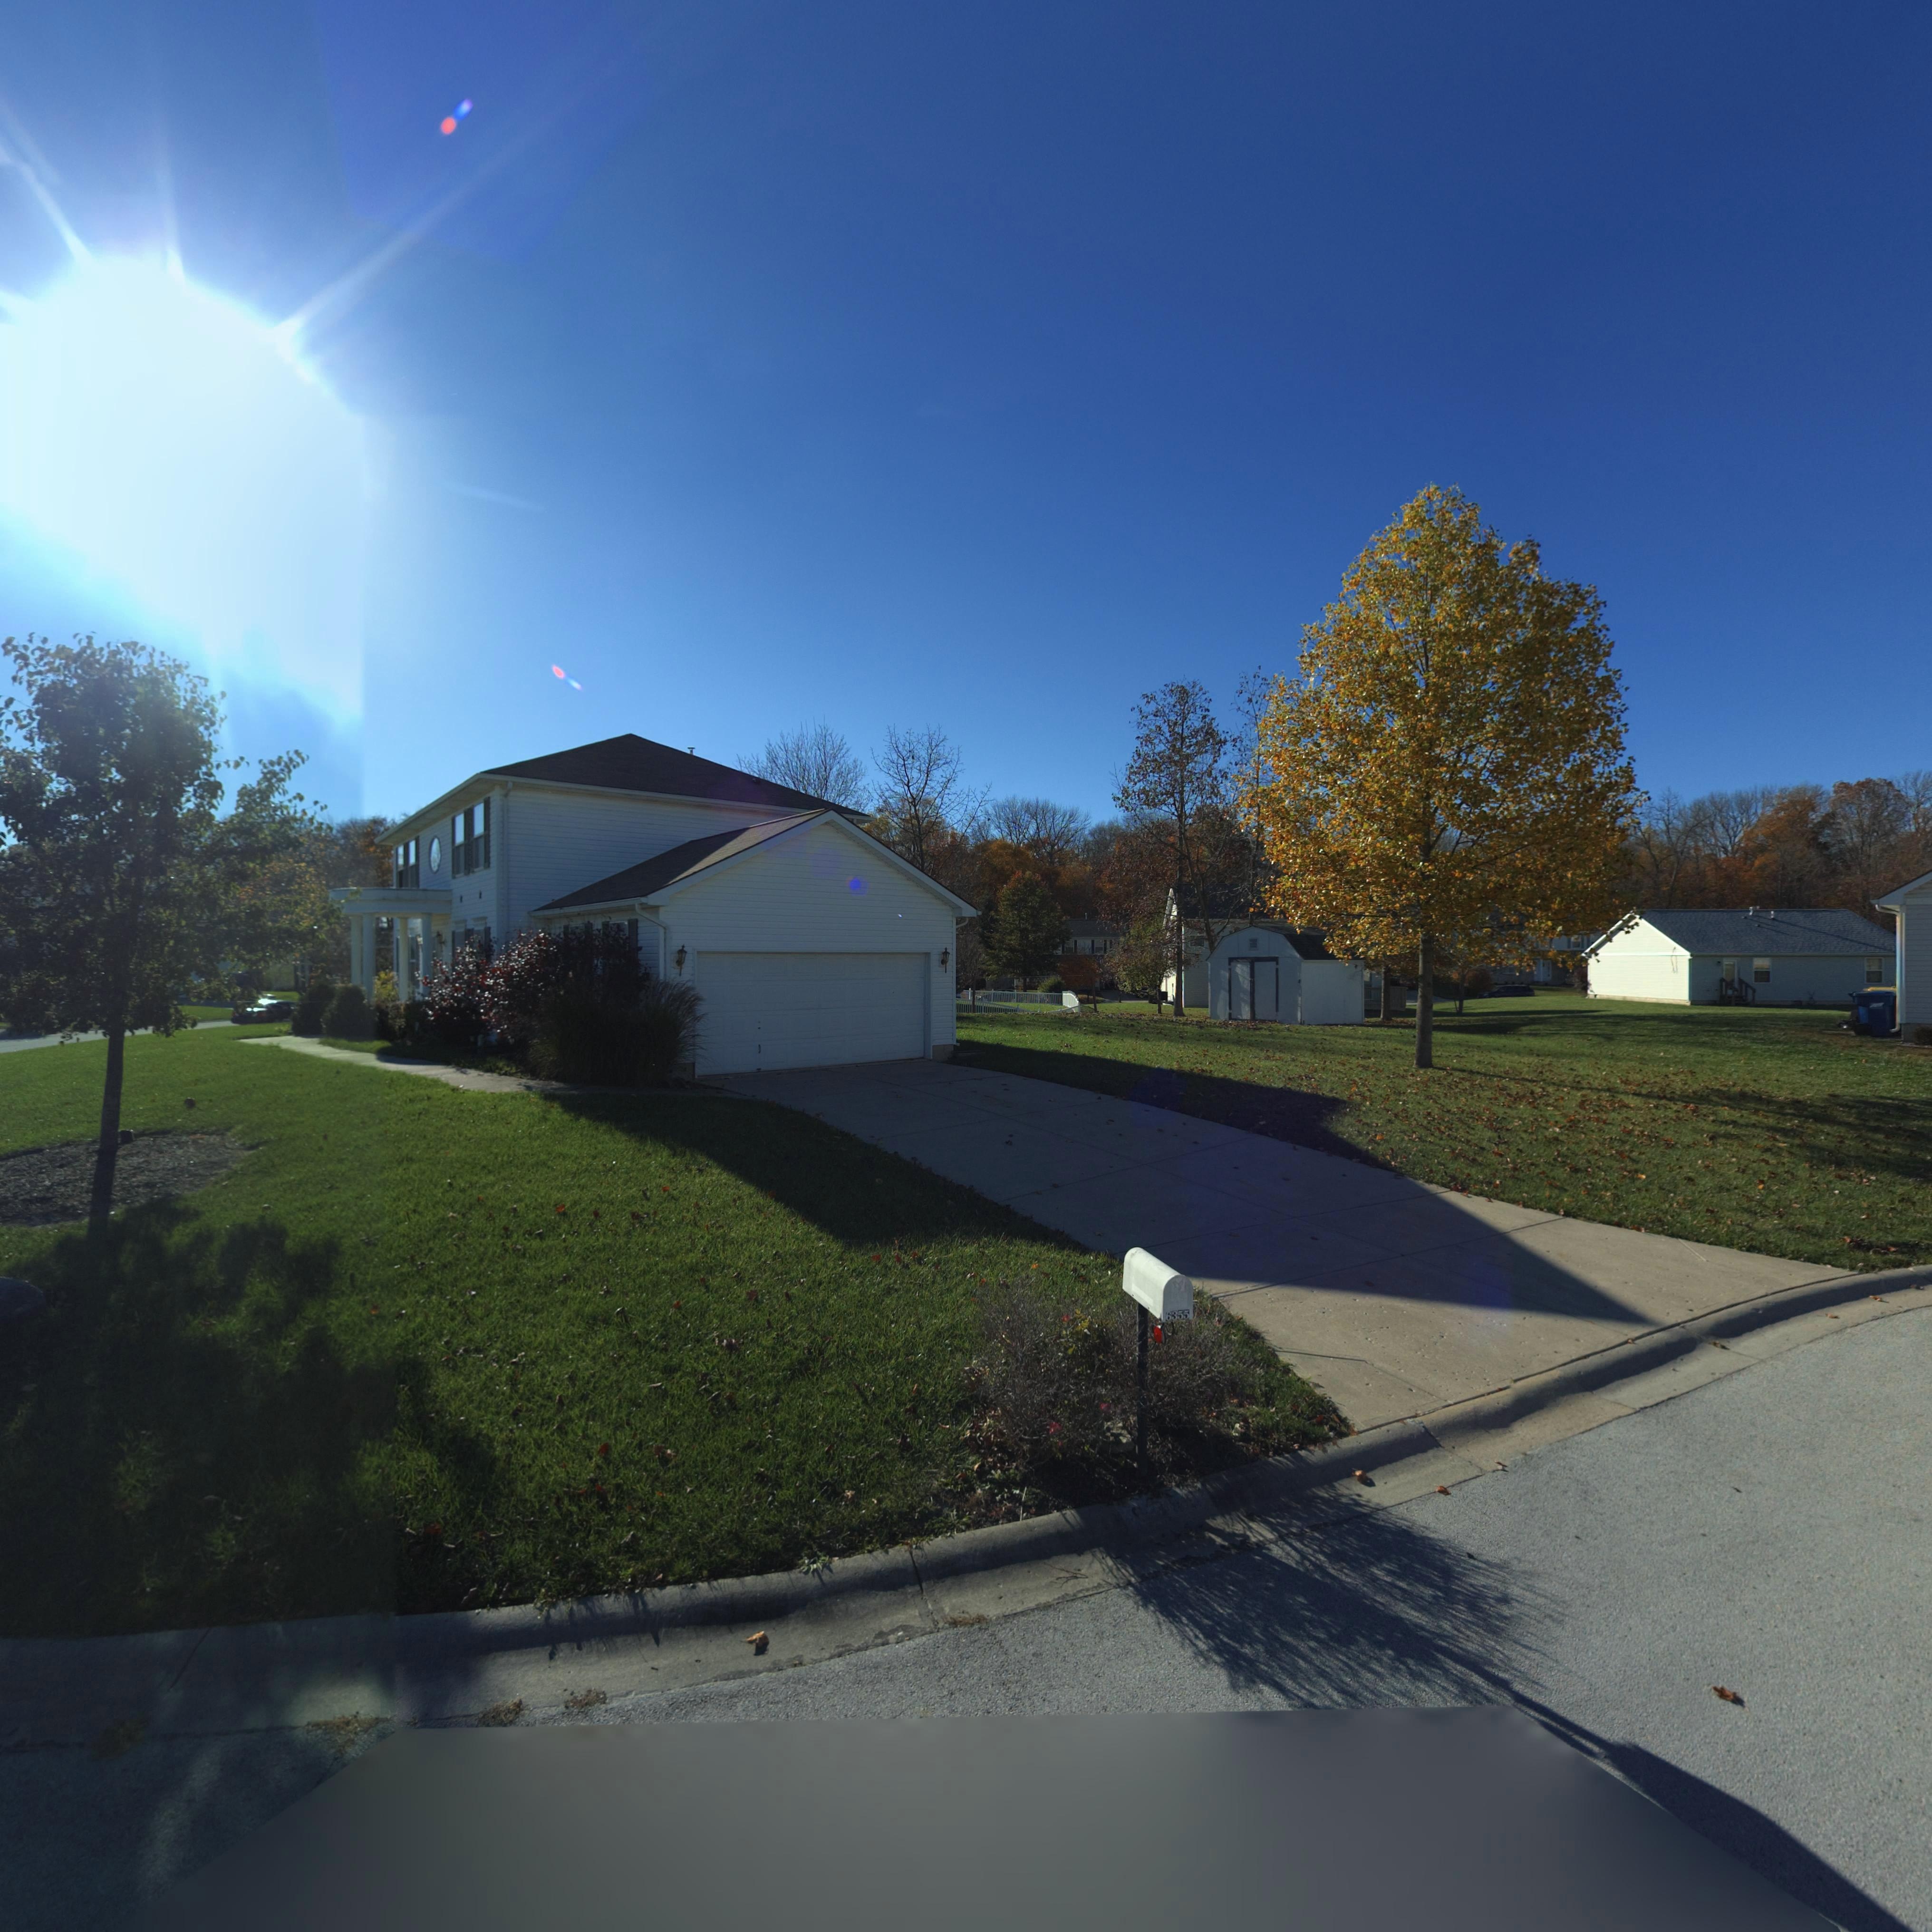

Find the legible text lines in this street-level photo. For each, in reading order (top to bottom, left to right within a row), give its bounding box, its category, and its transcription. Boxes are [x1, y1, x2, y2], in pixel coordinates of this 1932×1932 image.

[1165, 1310, 1189, 1322] StreetNumber: 6355
[1129, 1488, 1206, 1526] StreetNumber: 635*